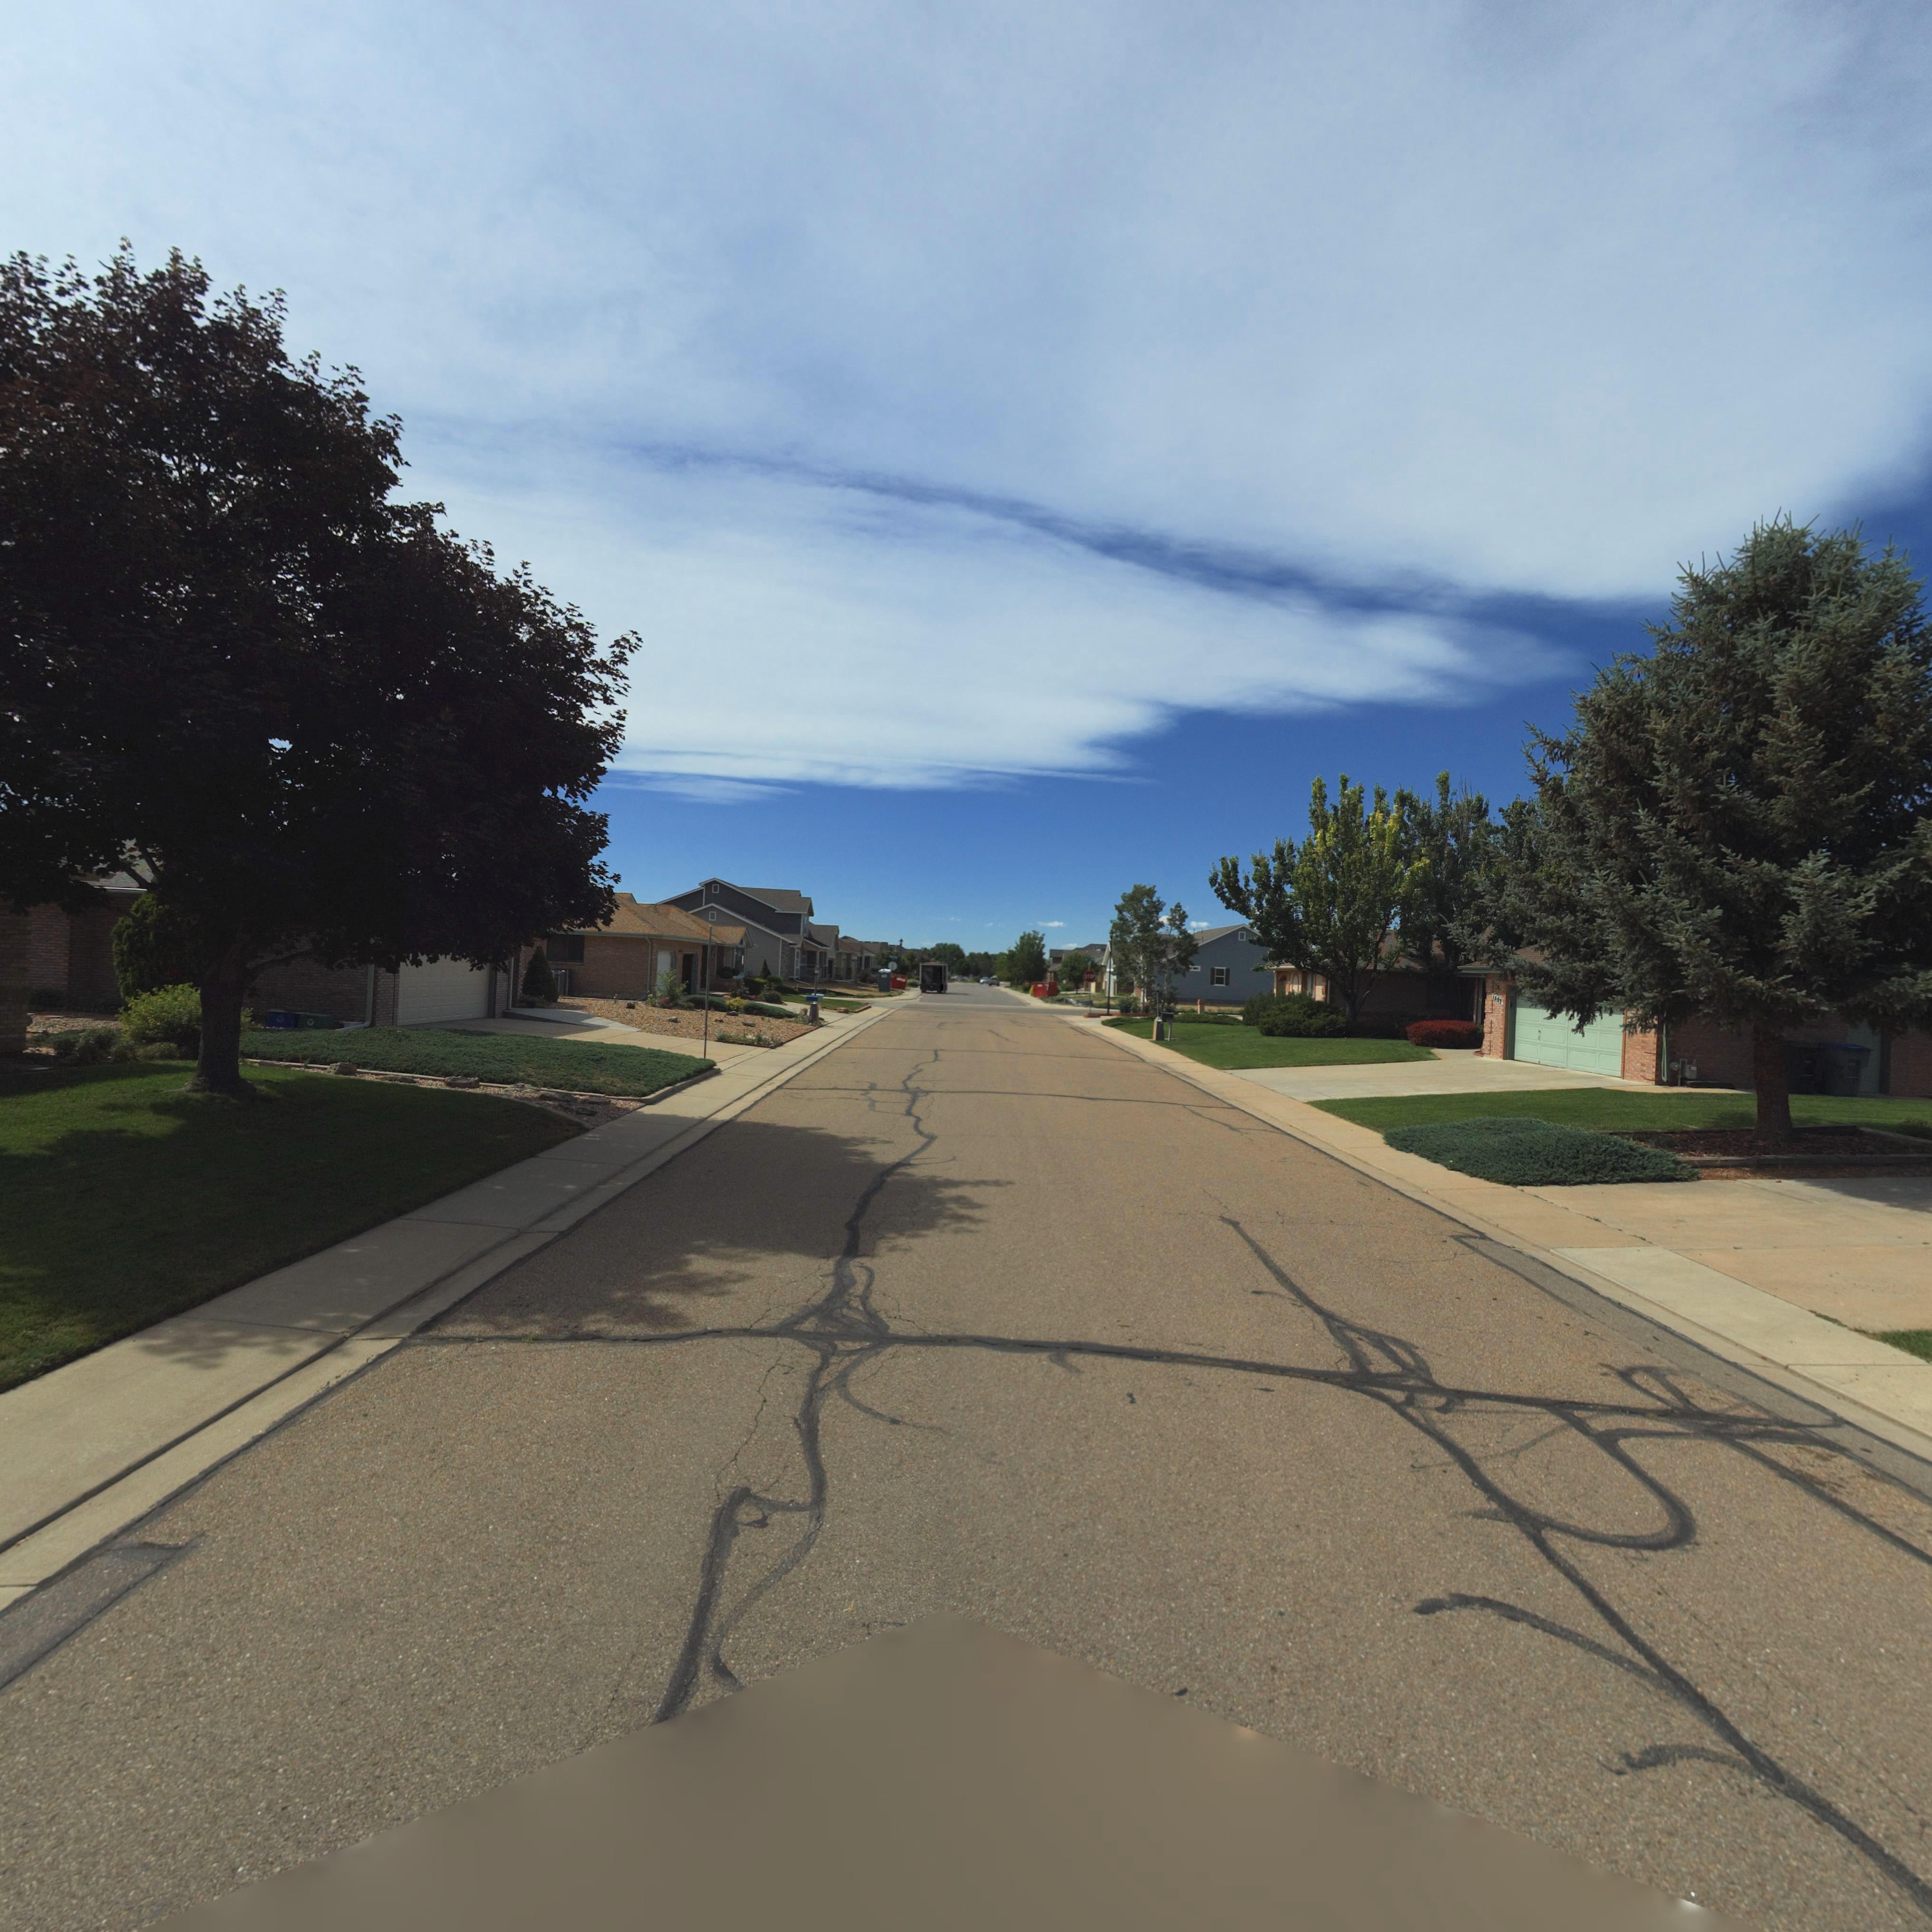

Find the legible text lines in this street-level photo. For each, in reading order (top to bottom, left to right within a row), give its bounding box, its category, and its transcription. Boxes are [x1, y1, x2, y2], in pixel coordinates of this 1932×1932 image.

[1492, 994, 1502, 1005] StreetNumber: 1609